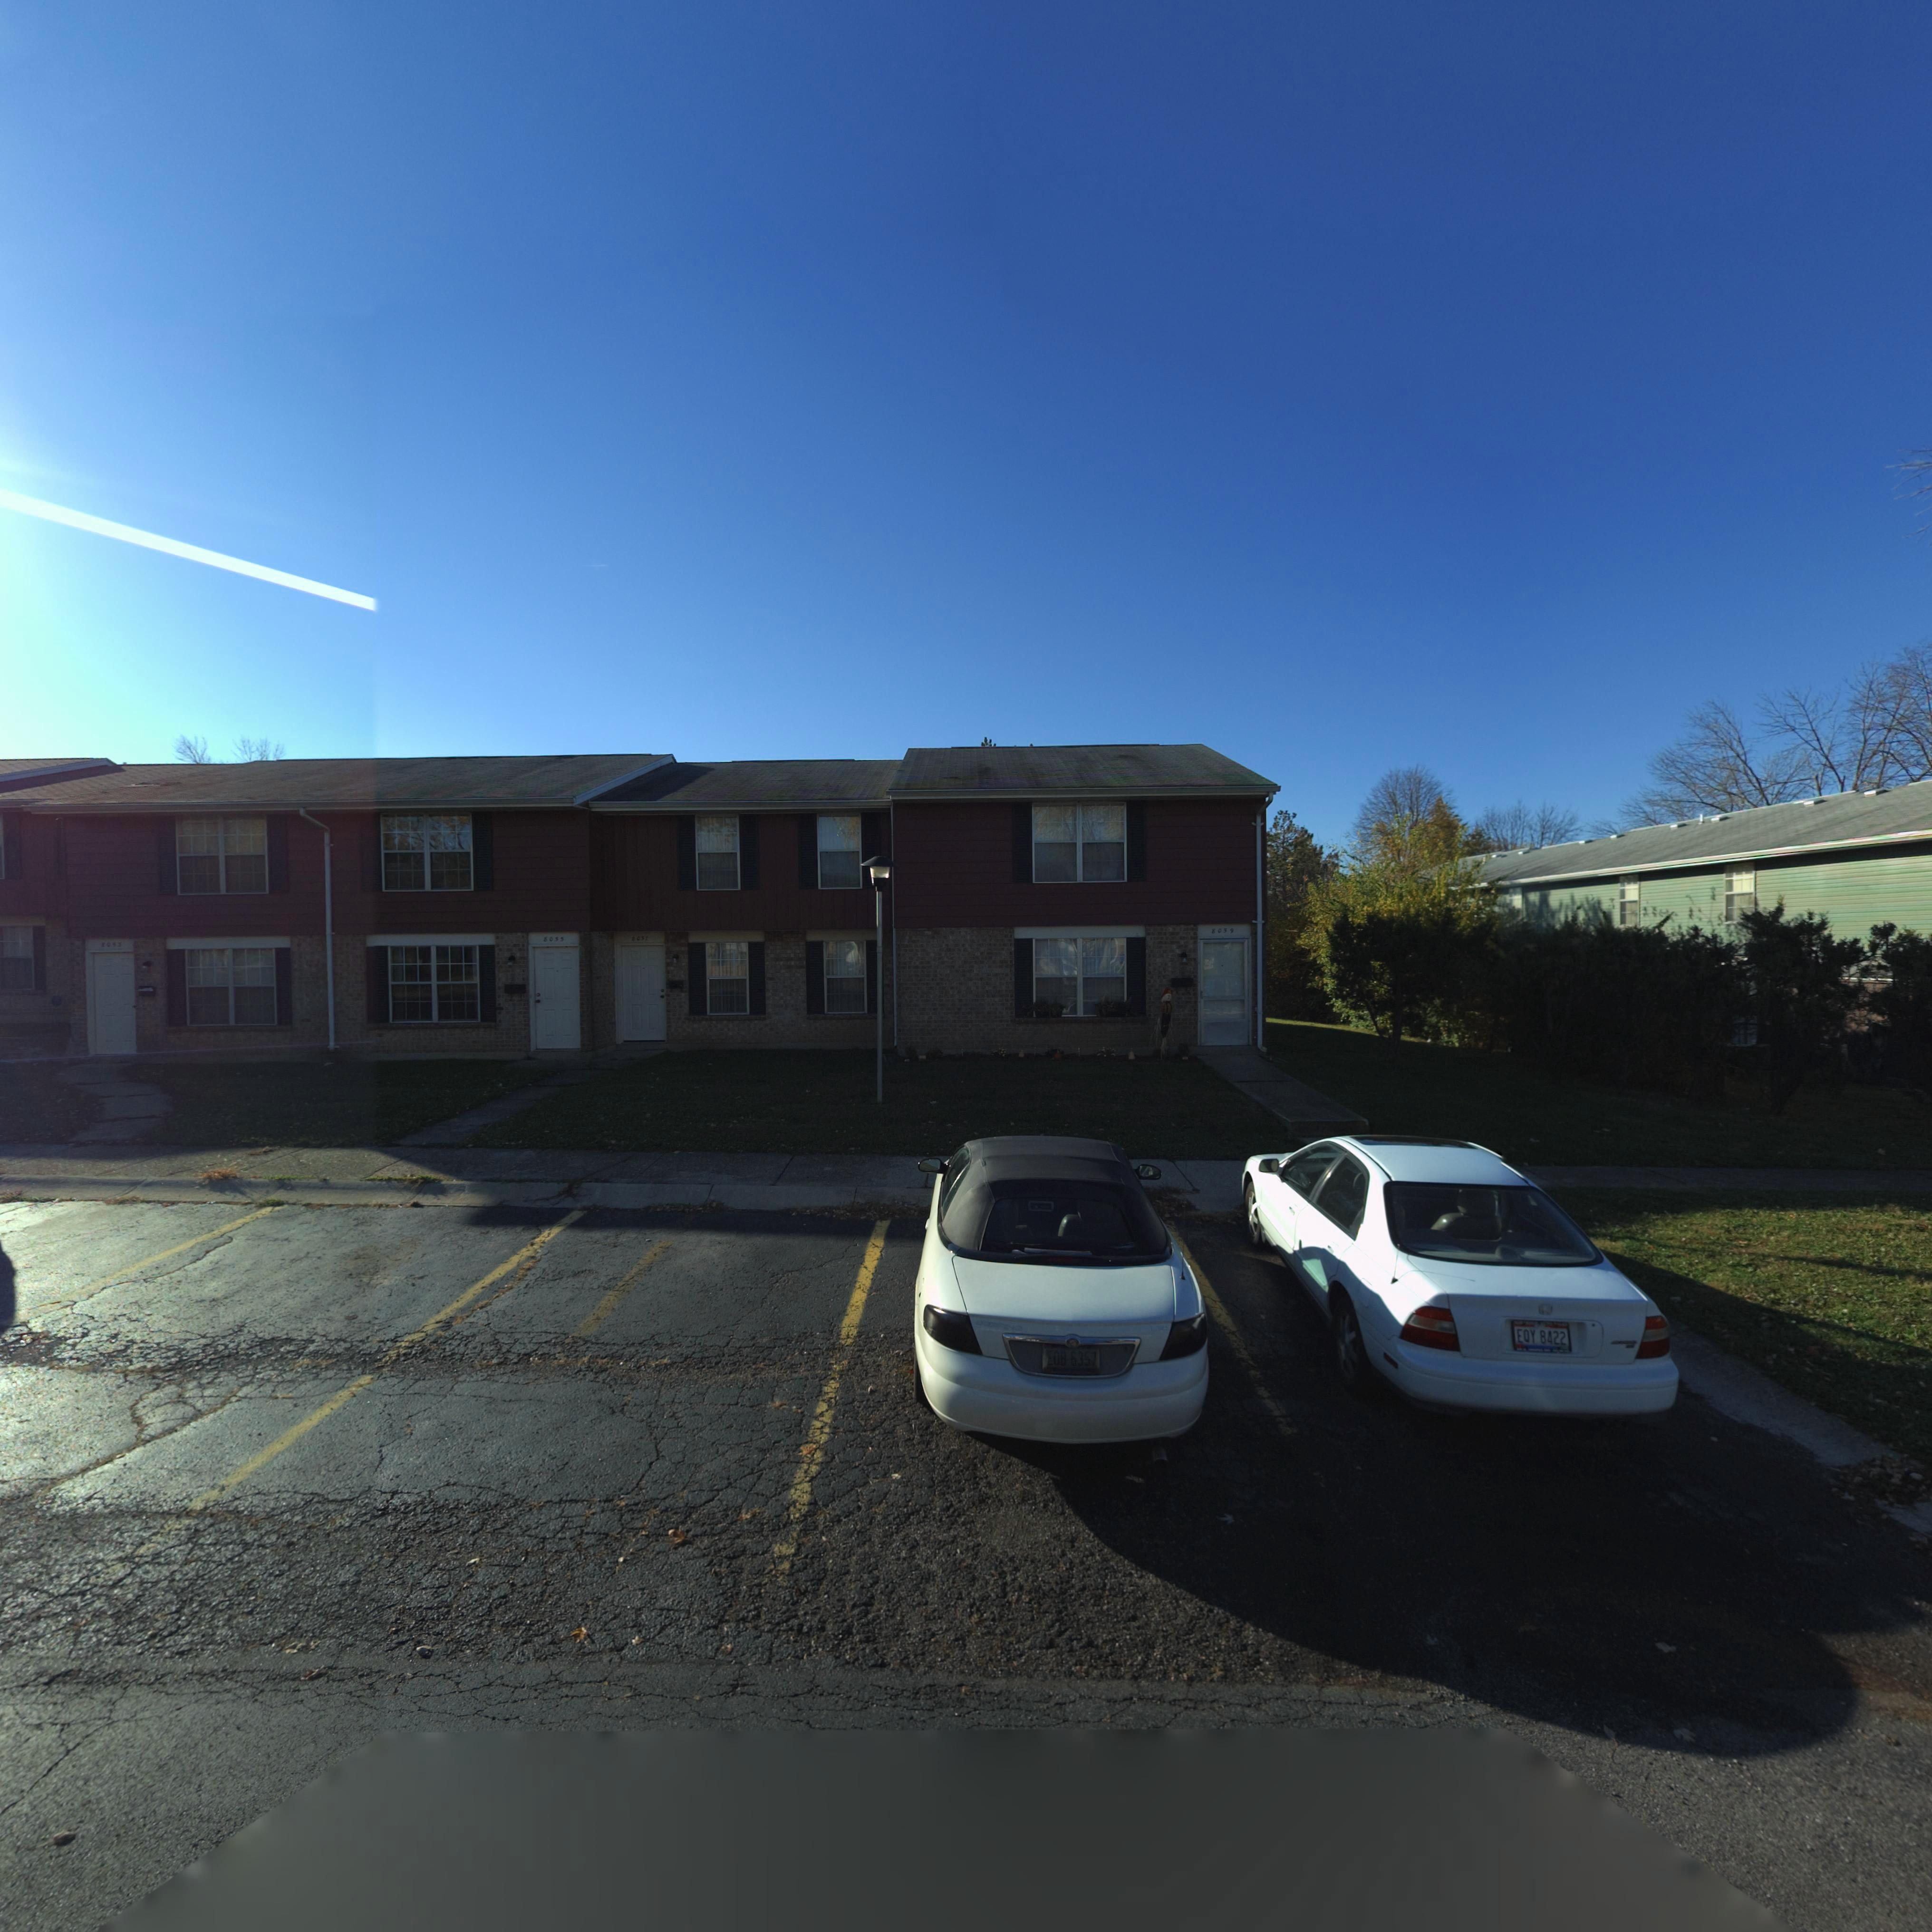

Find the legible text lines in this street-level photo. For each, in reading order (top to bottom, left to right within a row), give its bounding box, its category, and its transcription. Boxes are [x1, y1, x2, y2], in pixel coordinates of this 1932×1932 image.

[1210, 927, 1235, 935] StreetNumber: 80*9
[542, 935, 565, 944] StreetNumber: 805*
[631, 935, 649, 943] StreetNumber: 8057
[99, 941, 123, 948] StreetNumber: *0**